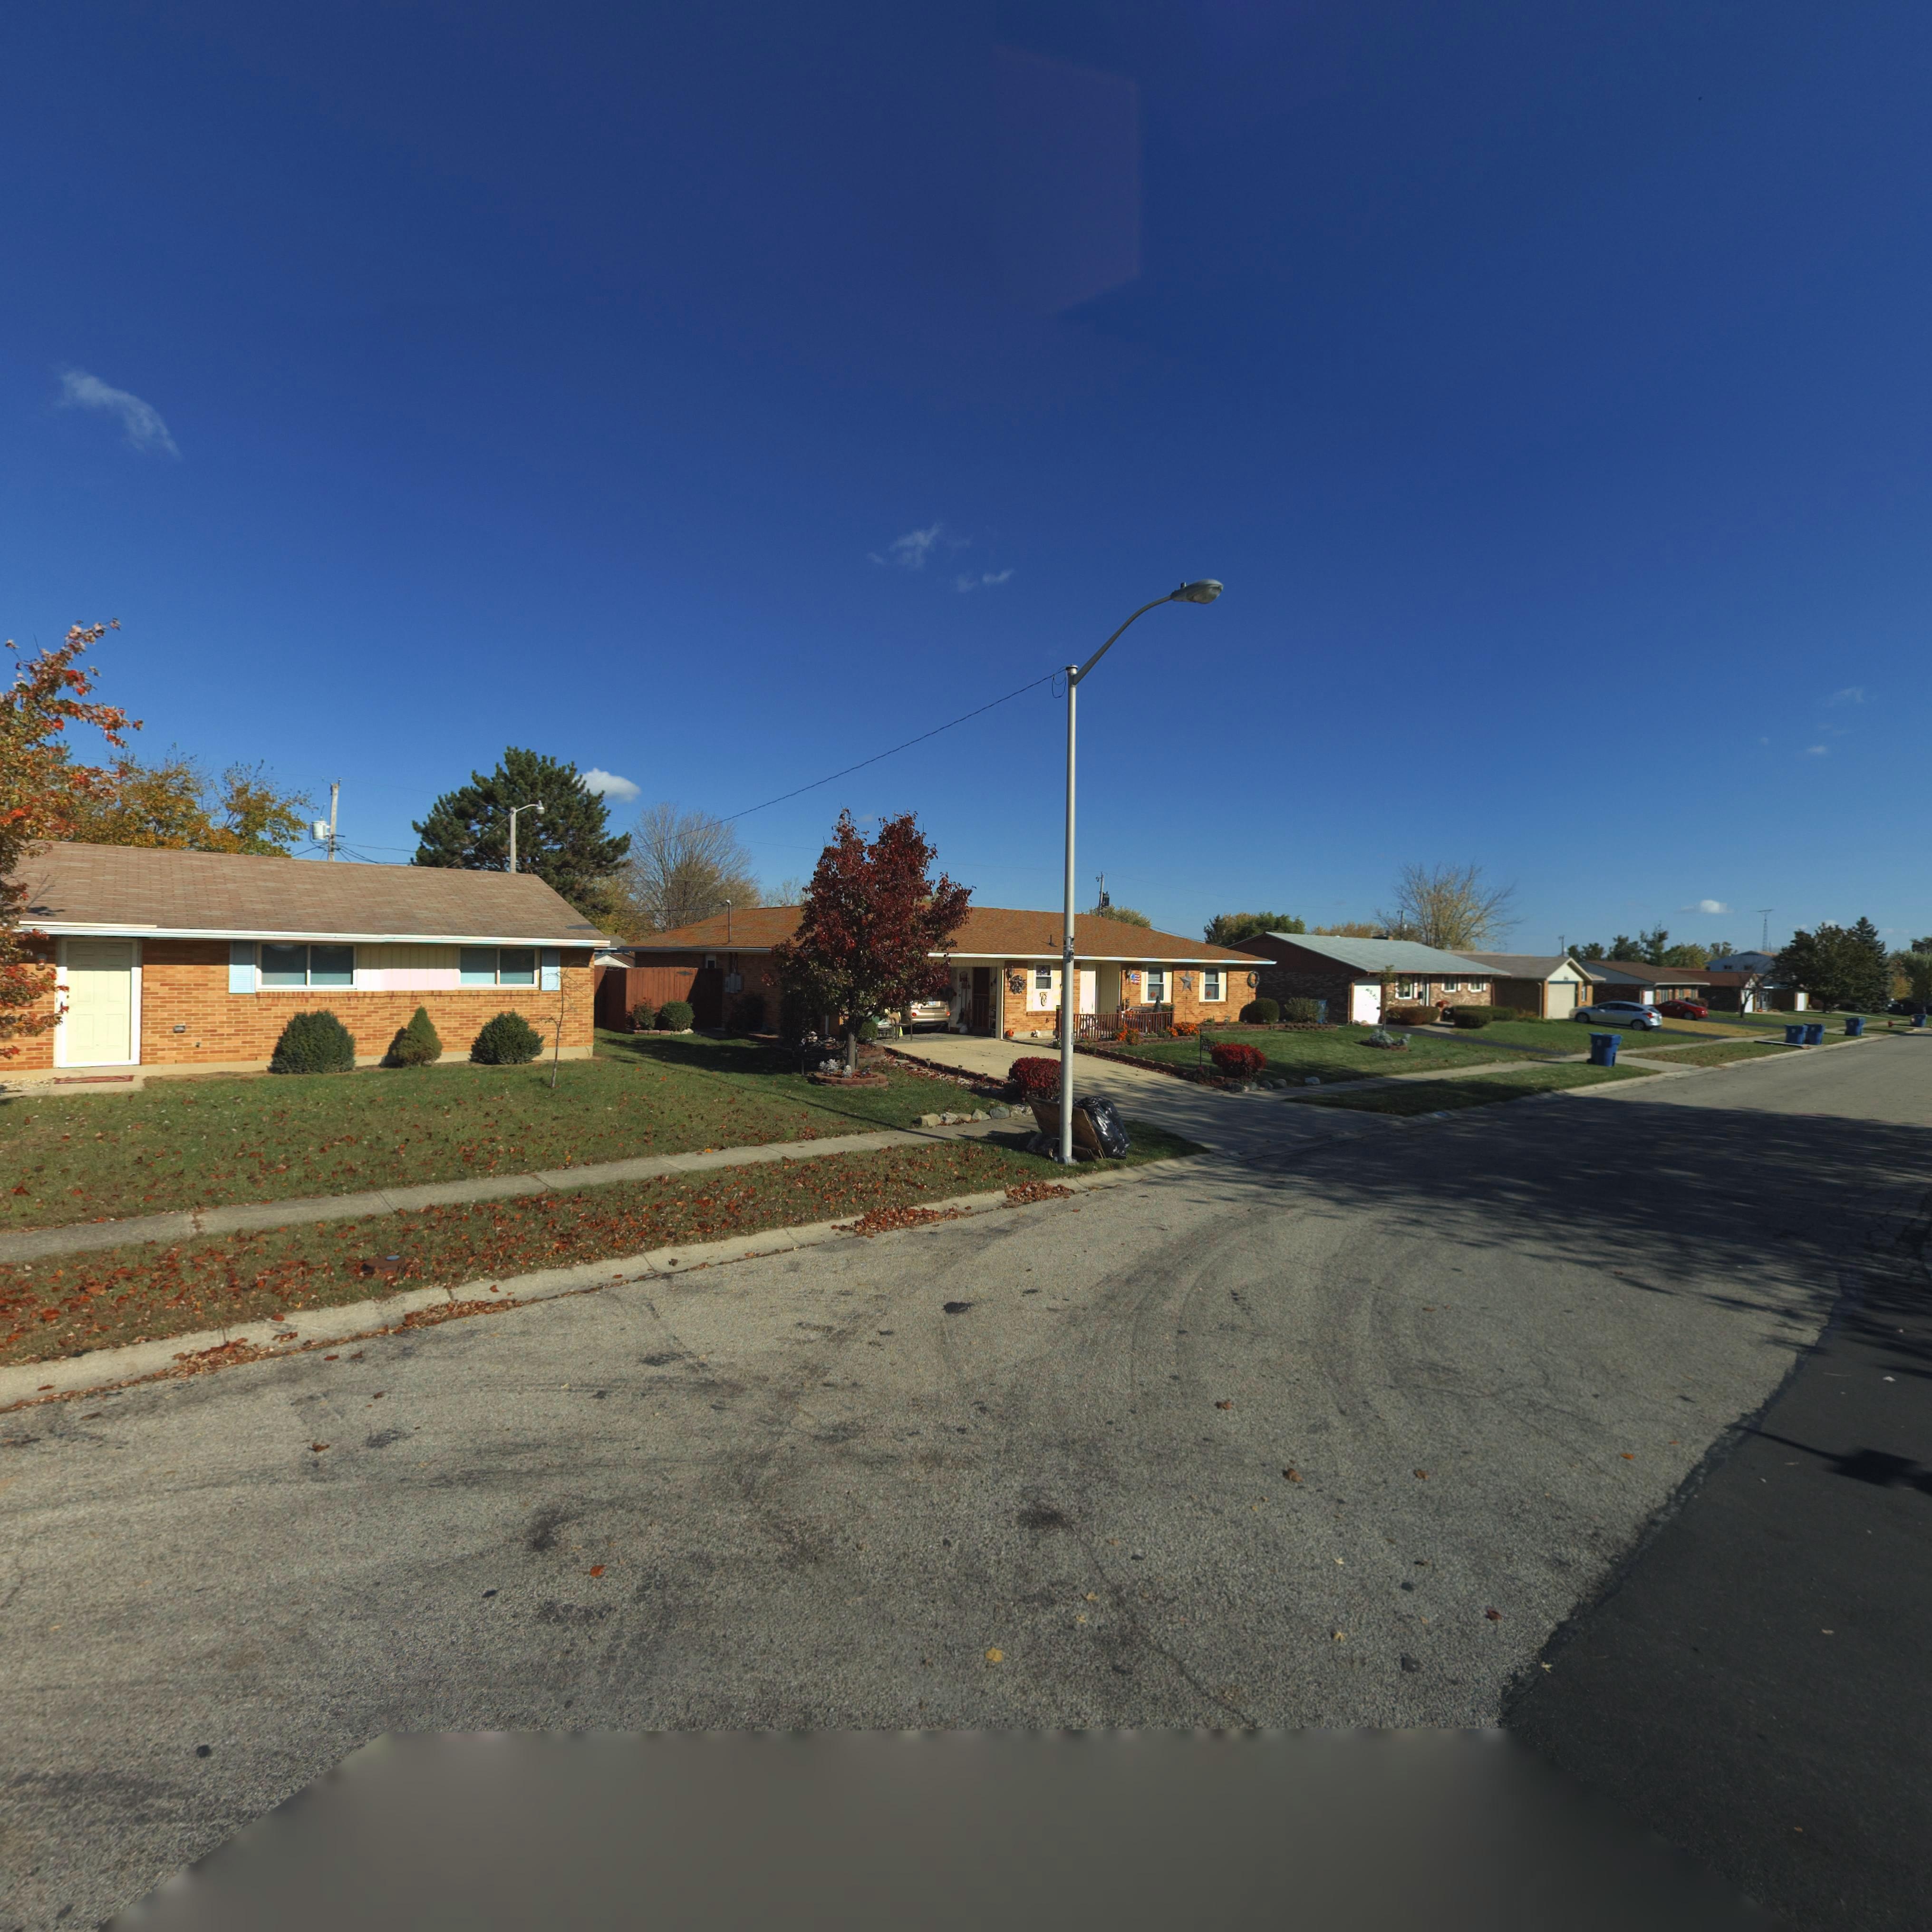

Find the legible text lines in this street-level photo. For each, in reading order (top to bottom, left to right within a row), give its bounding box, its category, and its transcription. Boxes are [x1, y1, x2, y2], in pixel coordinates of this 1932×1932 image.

[1201, 1045, 1208, 1051] StreetNumber: 70